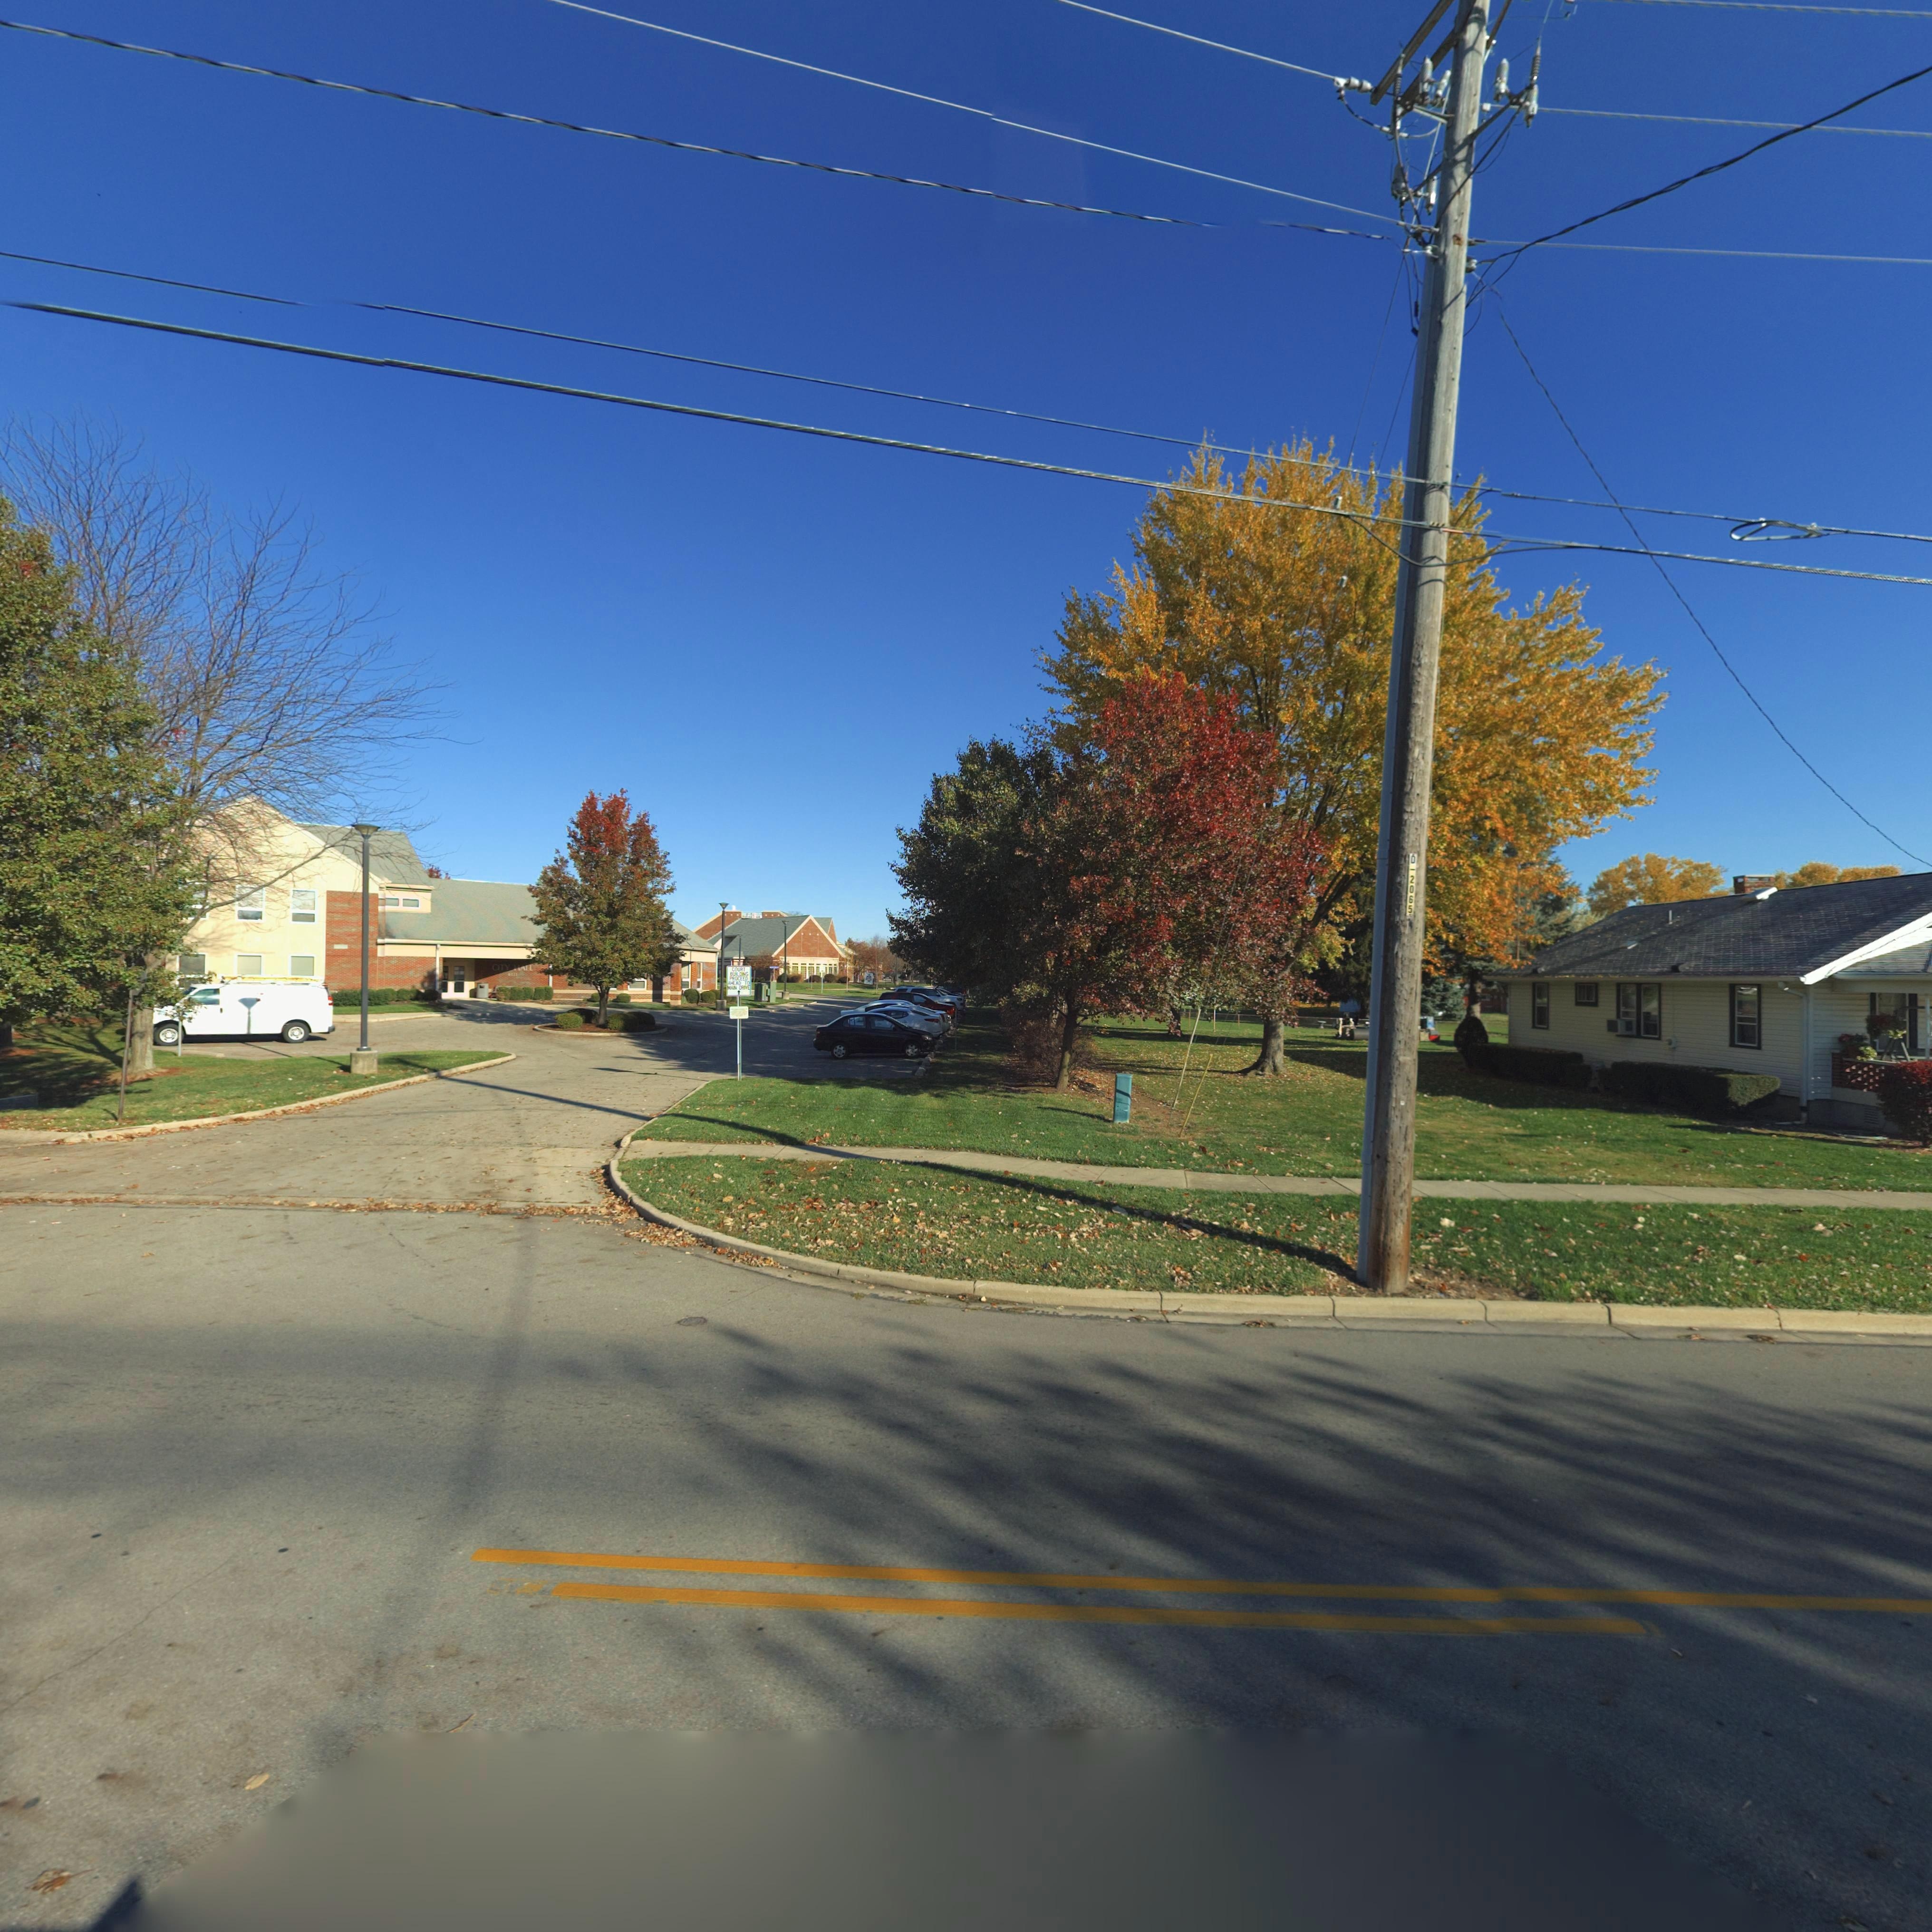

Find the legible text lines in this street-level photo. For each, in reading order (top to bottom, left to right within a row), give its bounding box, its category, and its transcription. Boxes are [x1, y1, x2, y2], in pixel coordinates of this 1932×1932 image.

[507, 972, 518, 976] StreetNumber: 61*1